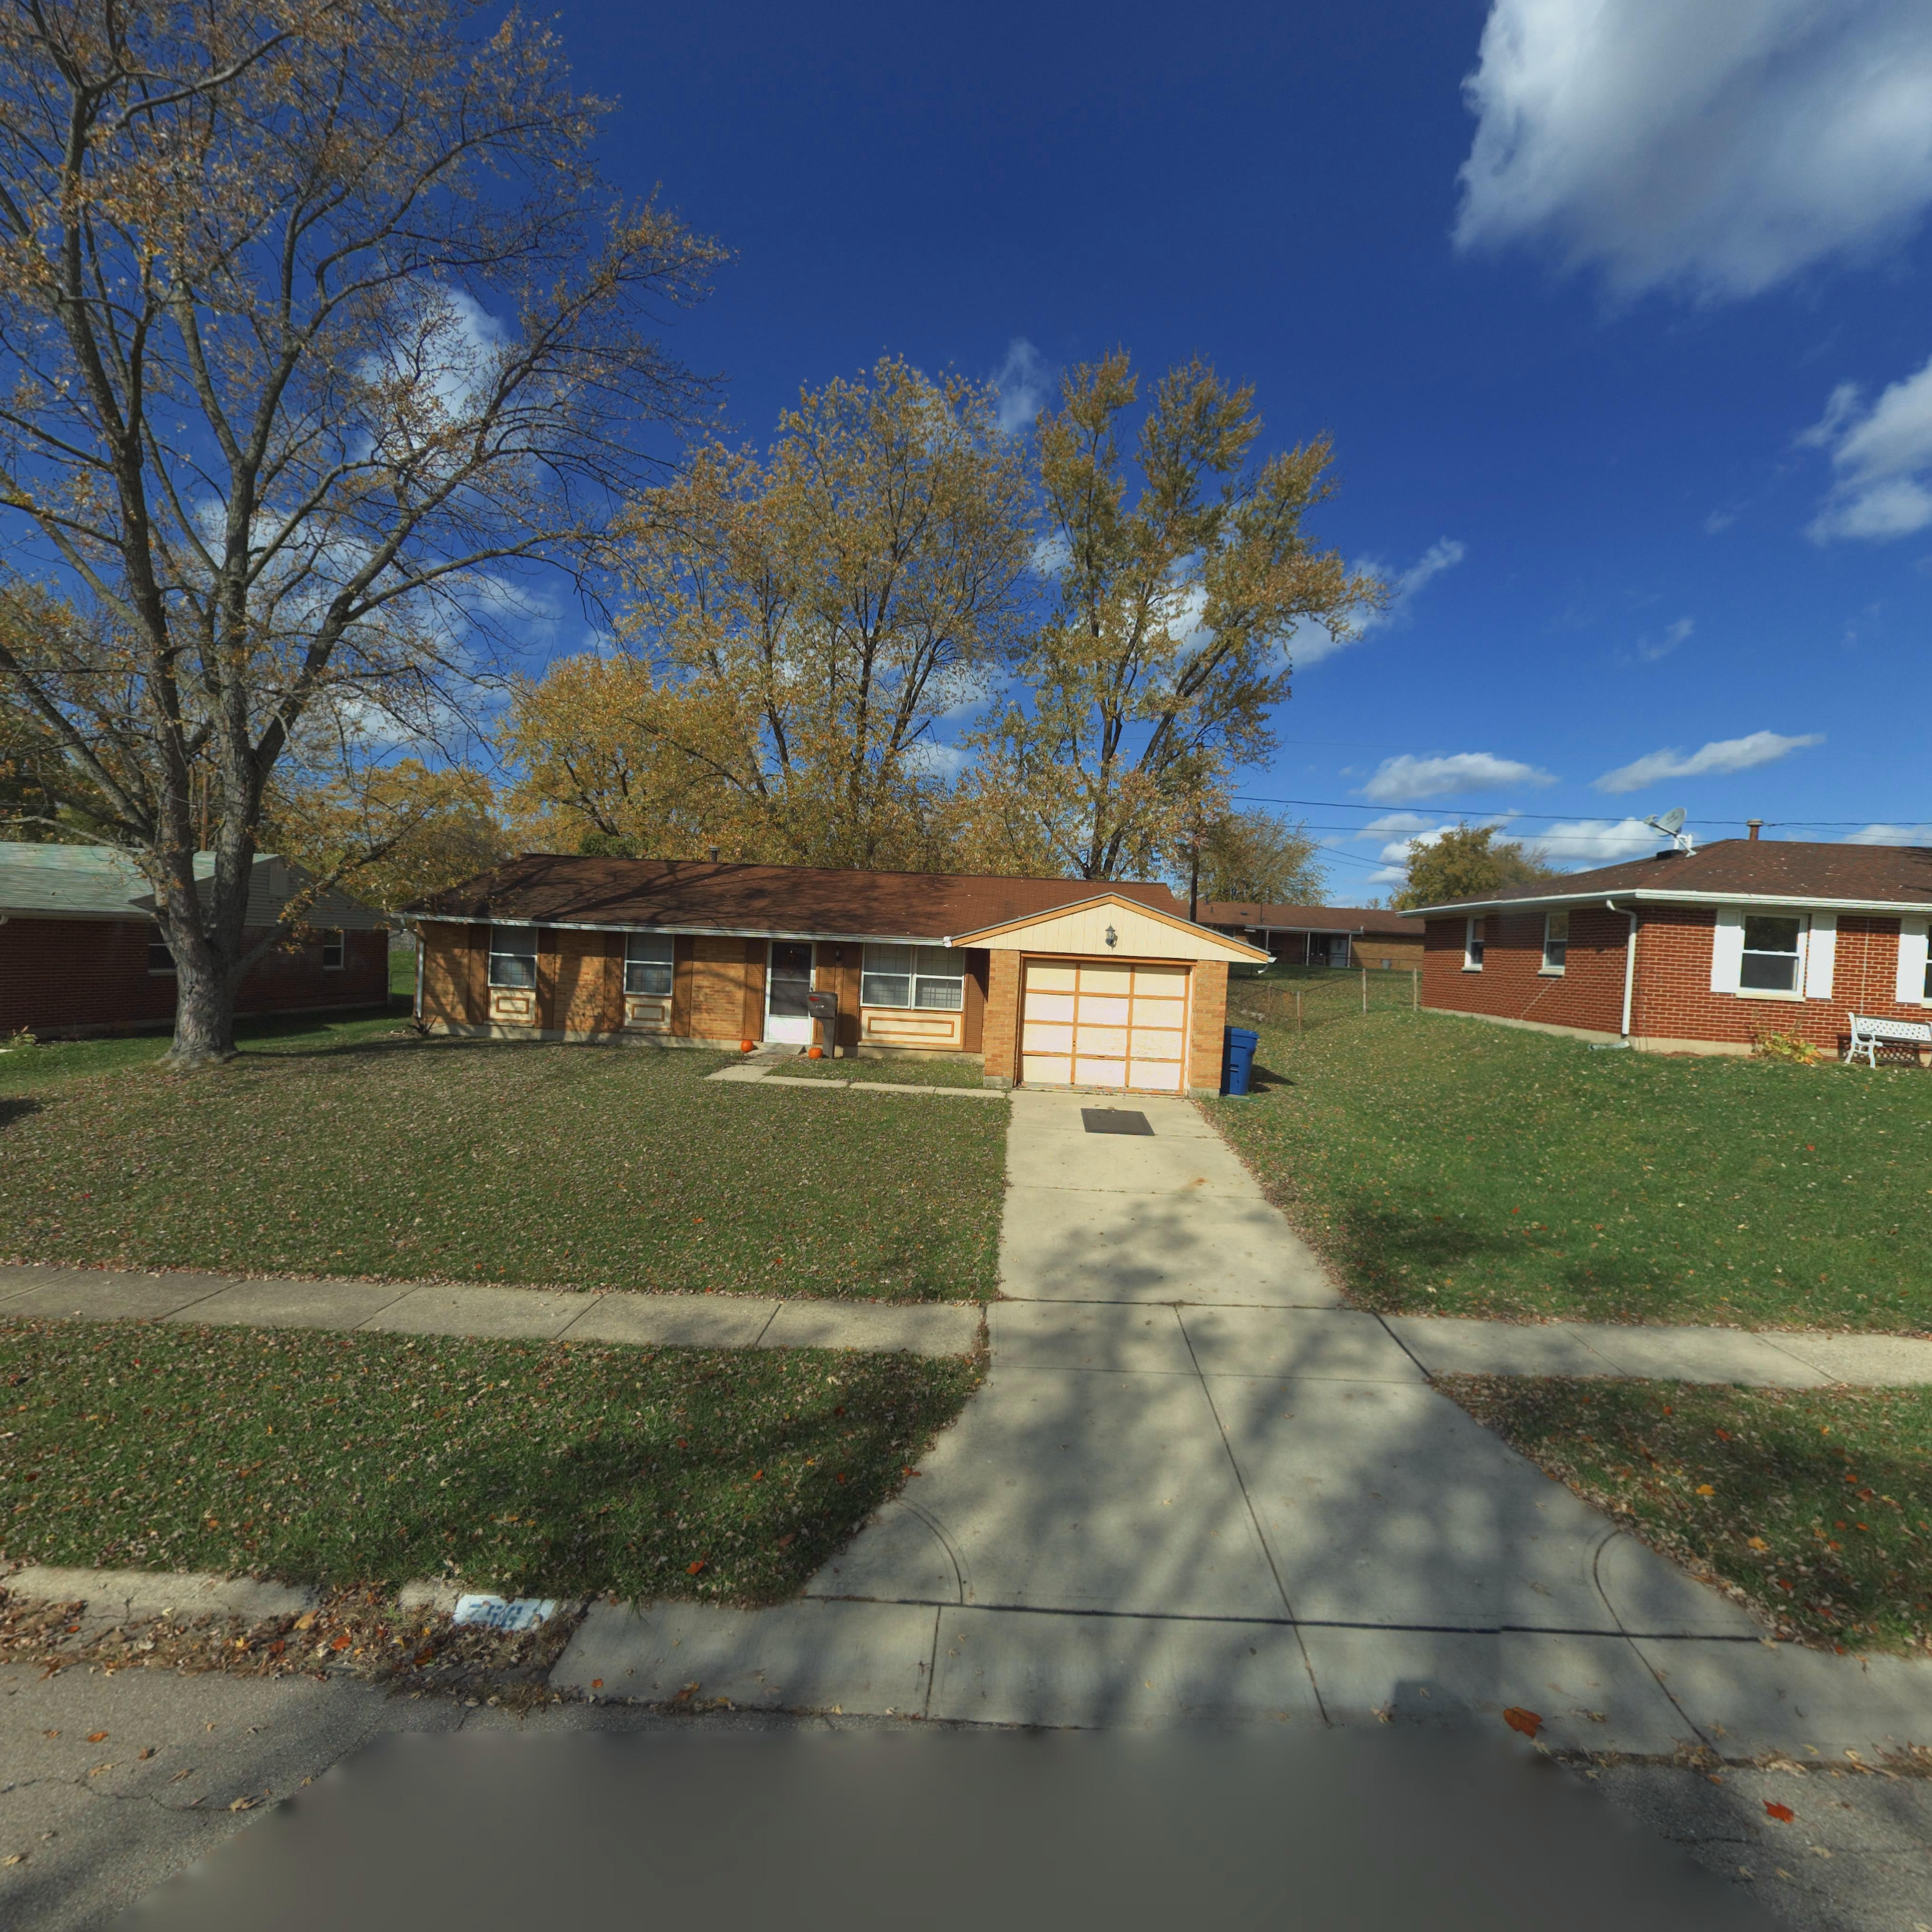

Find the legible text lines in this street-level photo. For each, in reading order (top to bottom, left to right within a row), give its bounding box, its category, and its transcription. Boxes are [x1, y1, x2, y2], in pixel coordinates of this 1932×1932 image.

[456, 1602, 541, 1632] StreetNumber: 7561